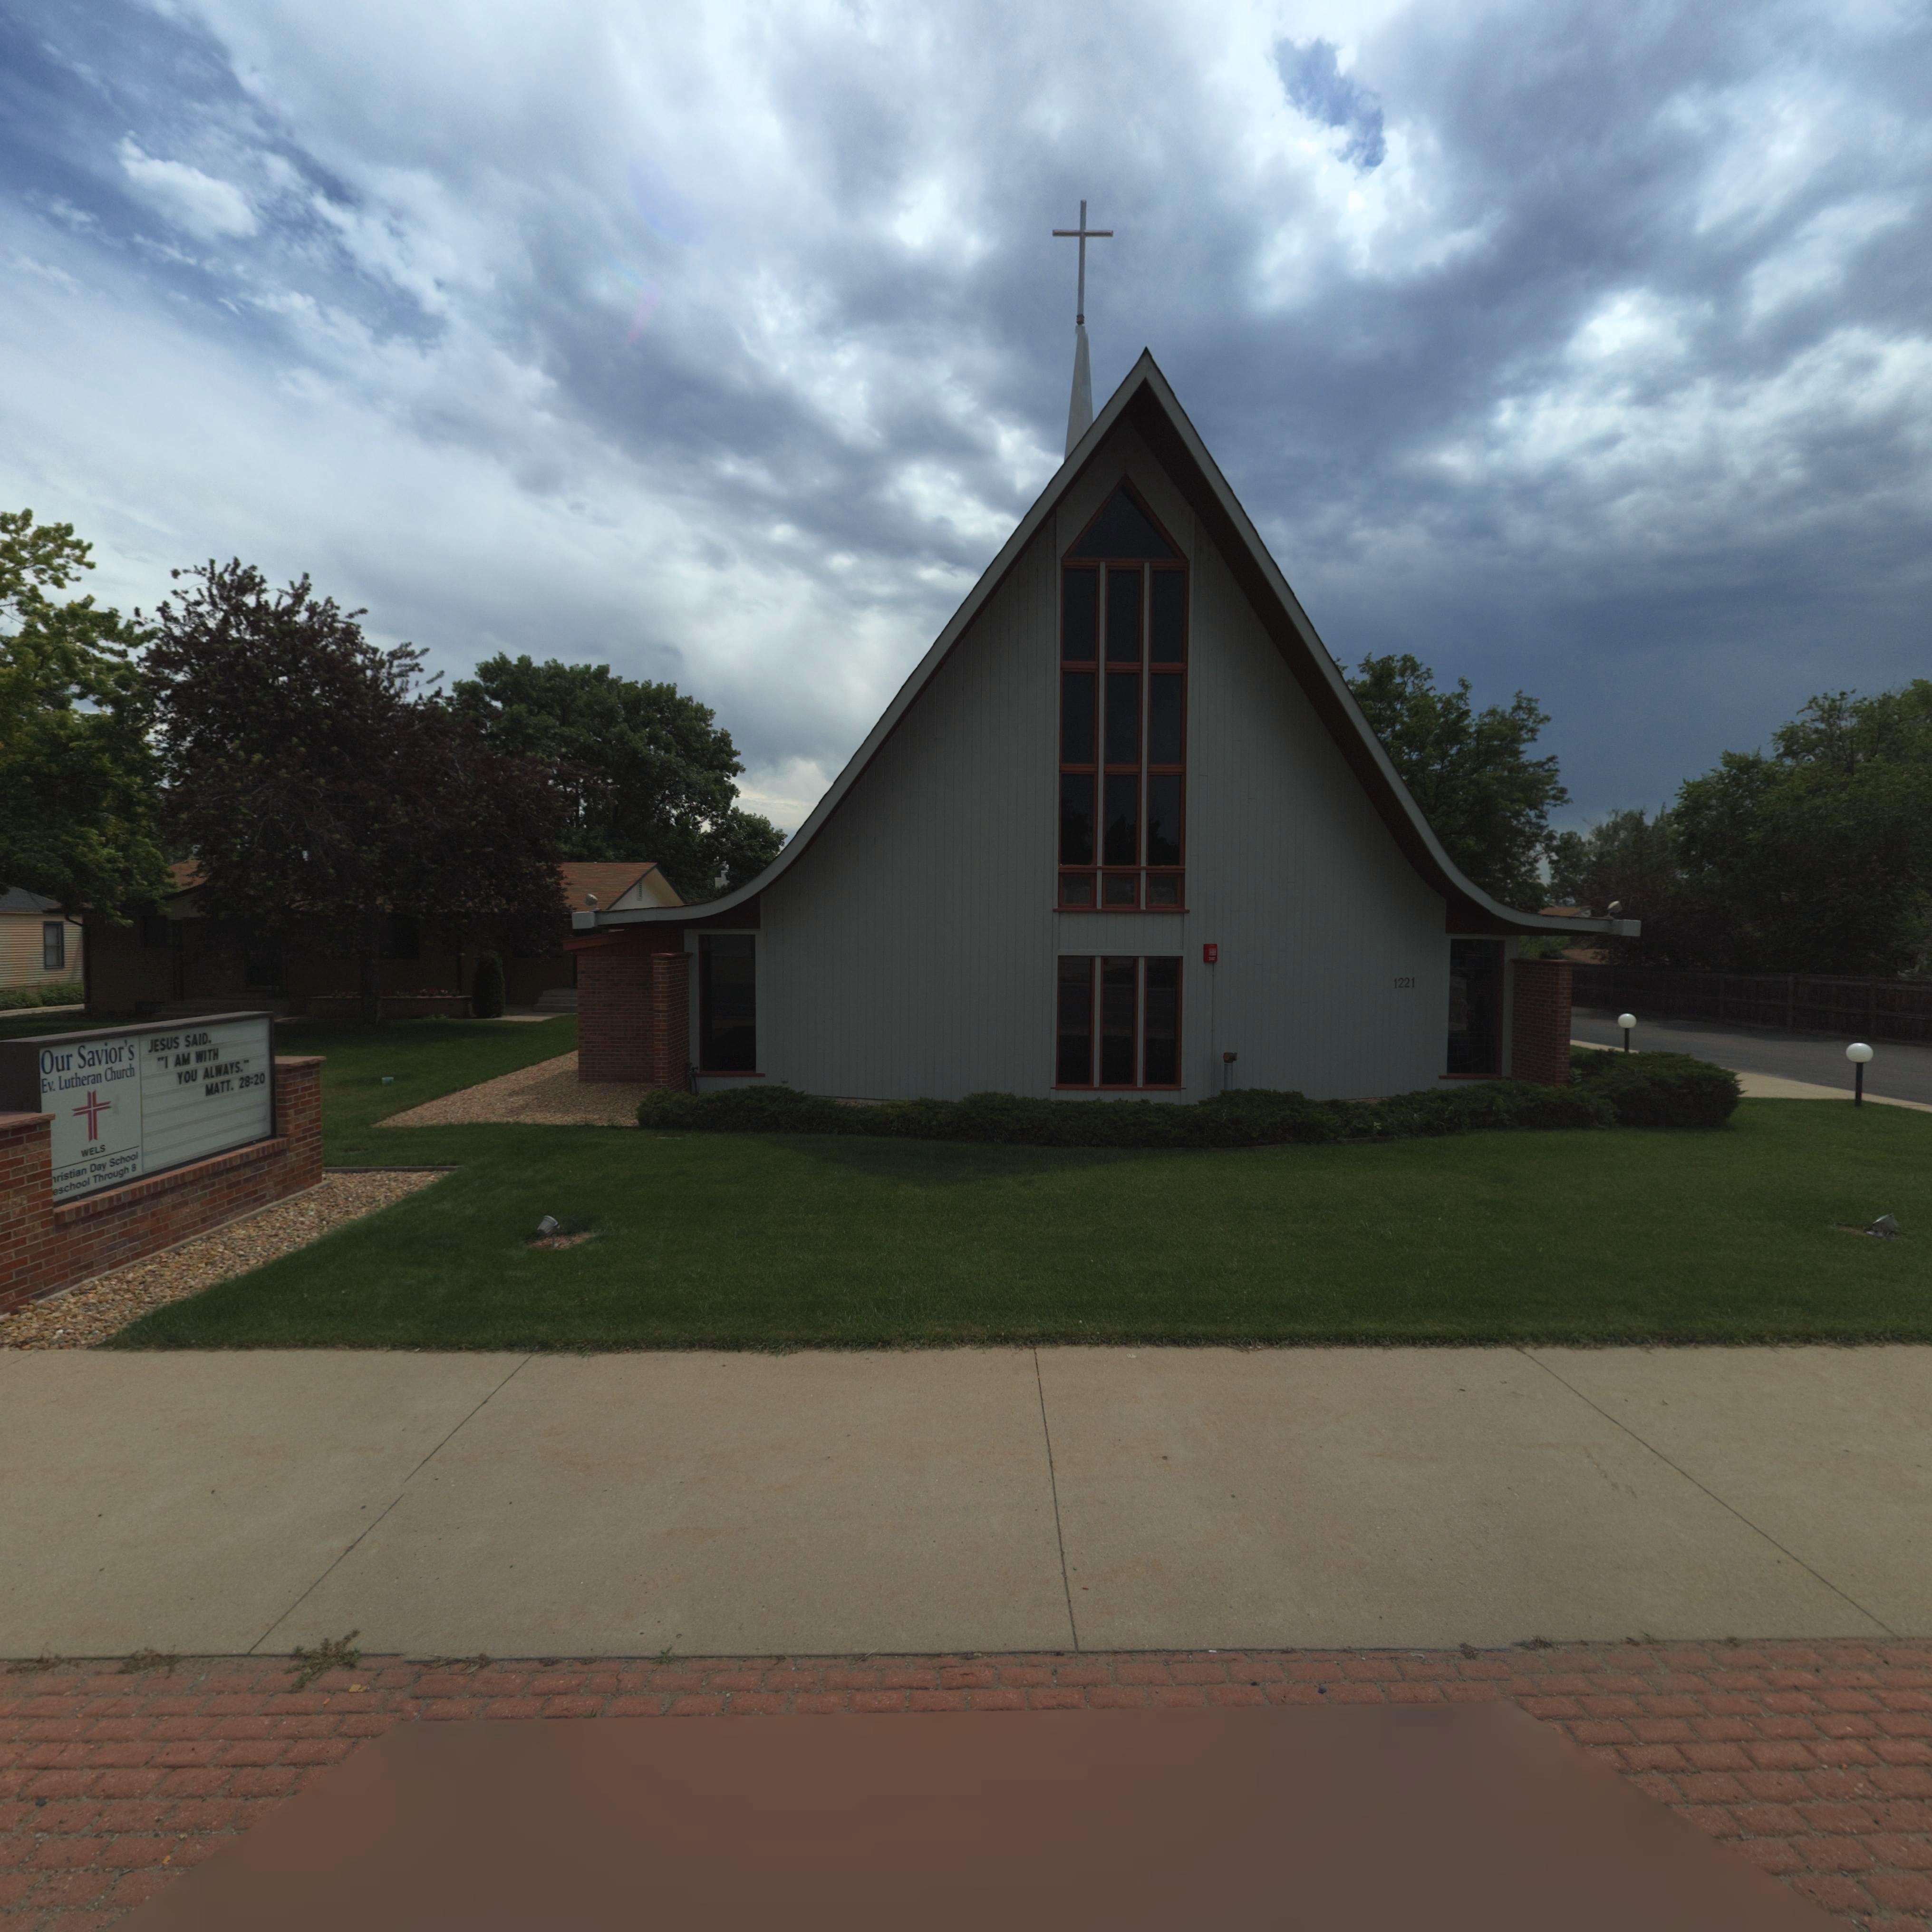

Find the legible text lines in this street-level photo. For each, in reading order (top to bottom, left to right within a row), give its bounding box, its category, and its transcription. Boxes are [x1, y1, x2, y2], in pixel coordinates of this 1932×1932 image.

[1392, 976, 1416, 989] StreetNumber: 1221
[39, 1038, 135, 1075] BusinessName: Our Savior's
[41, 1063, 135, 1094] BusinessName: Ev. Lutheran Church